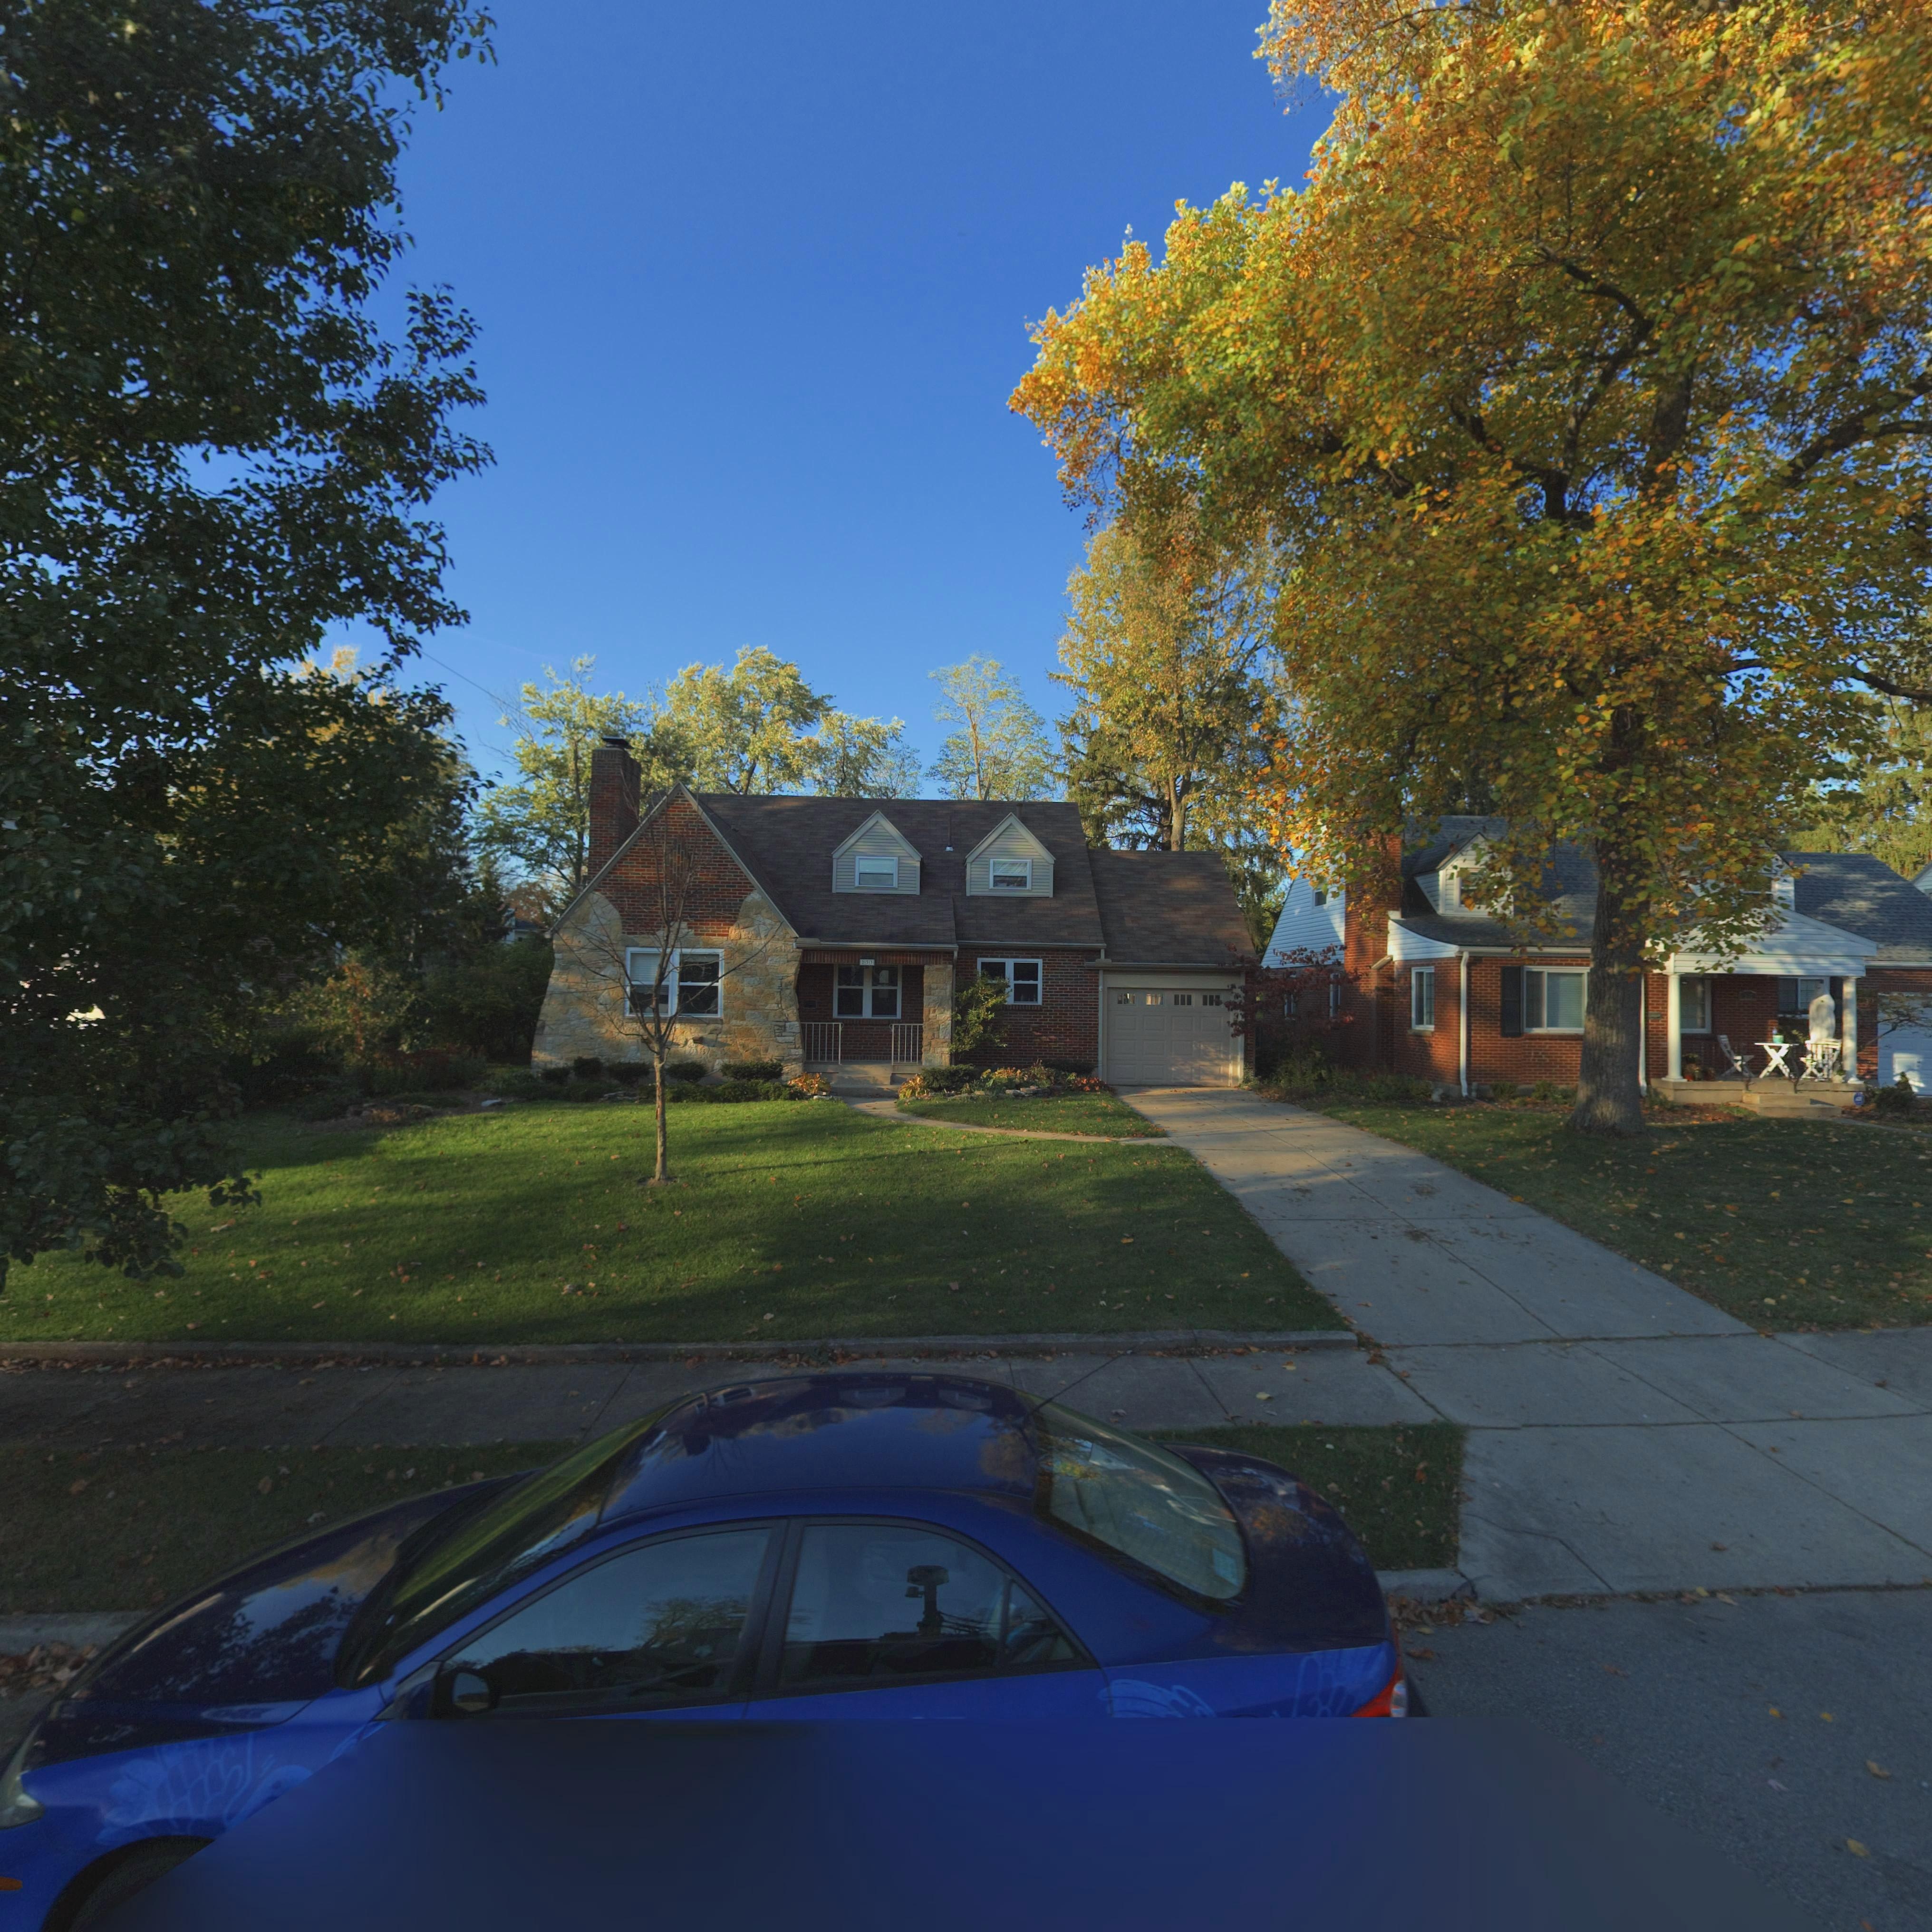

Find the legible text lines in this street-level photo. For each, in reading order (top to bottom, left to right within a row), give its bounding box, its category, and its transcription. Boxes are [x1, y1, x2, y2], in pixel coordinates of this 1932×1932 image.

[861, 960, 873, 965] StreetNumber: 233